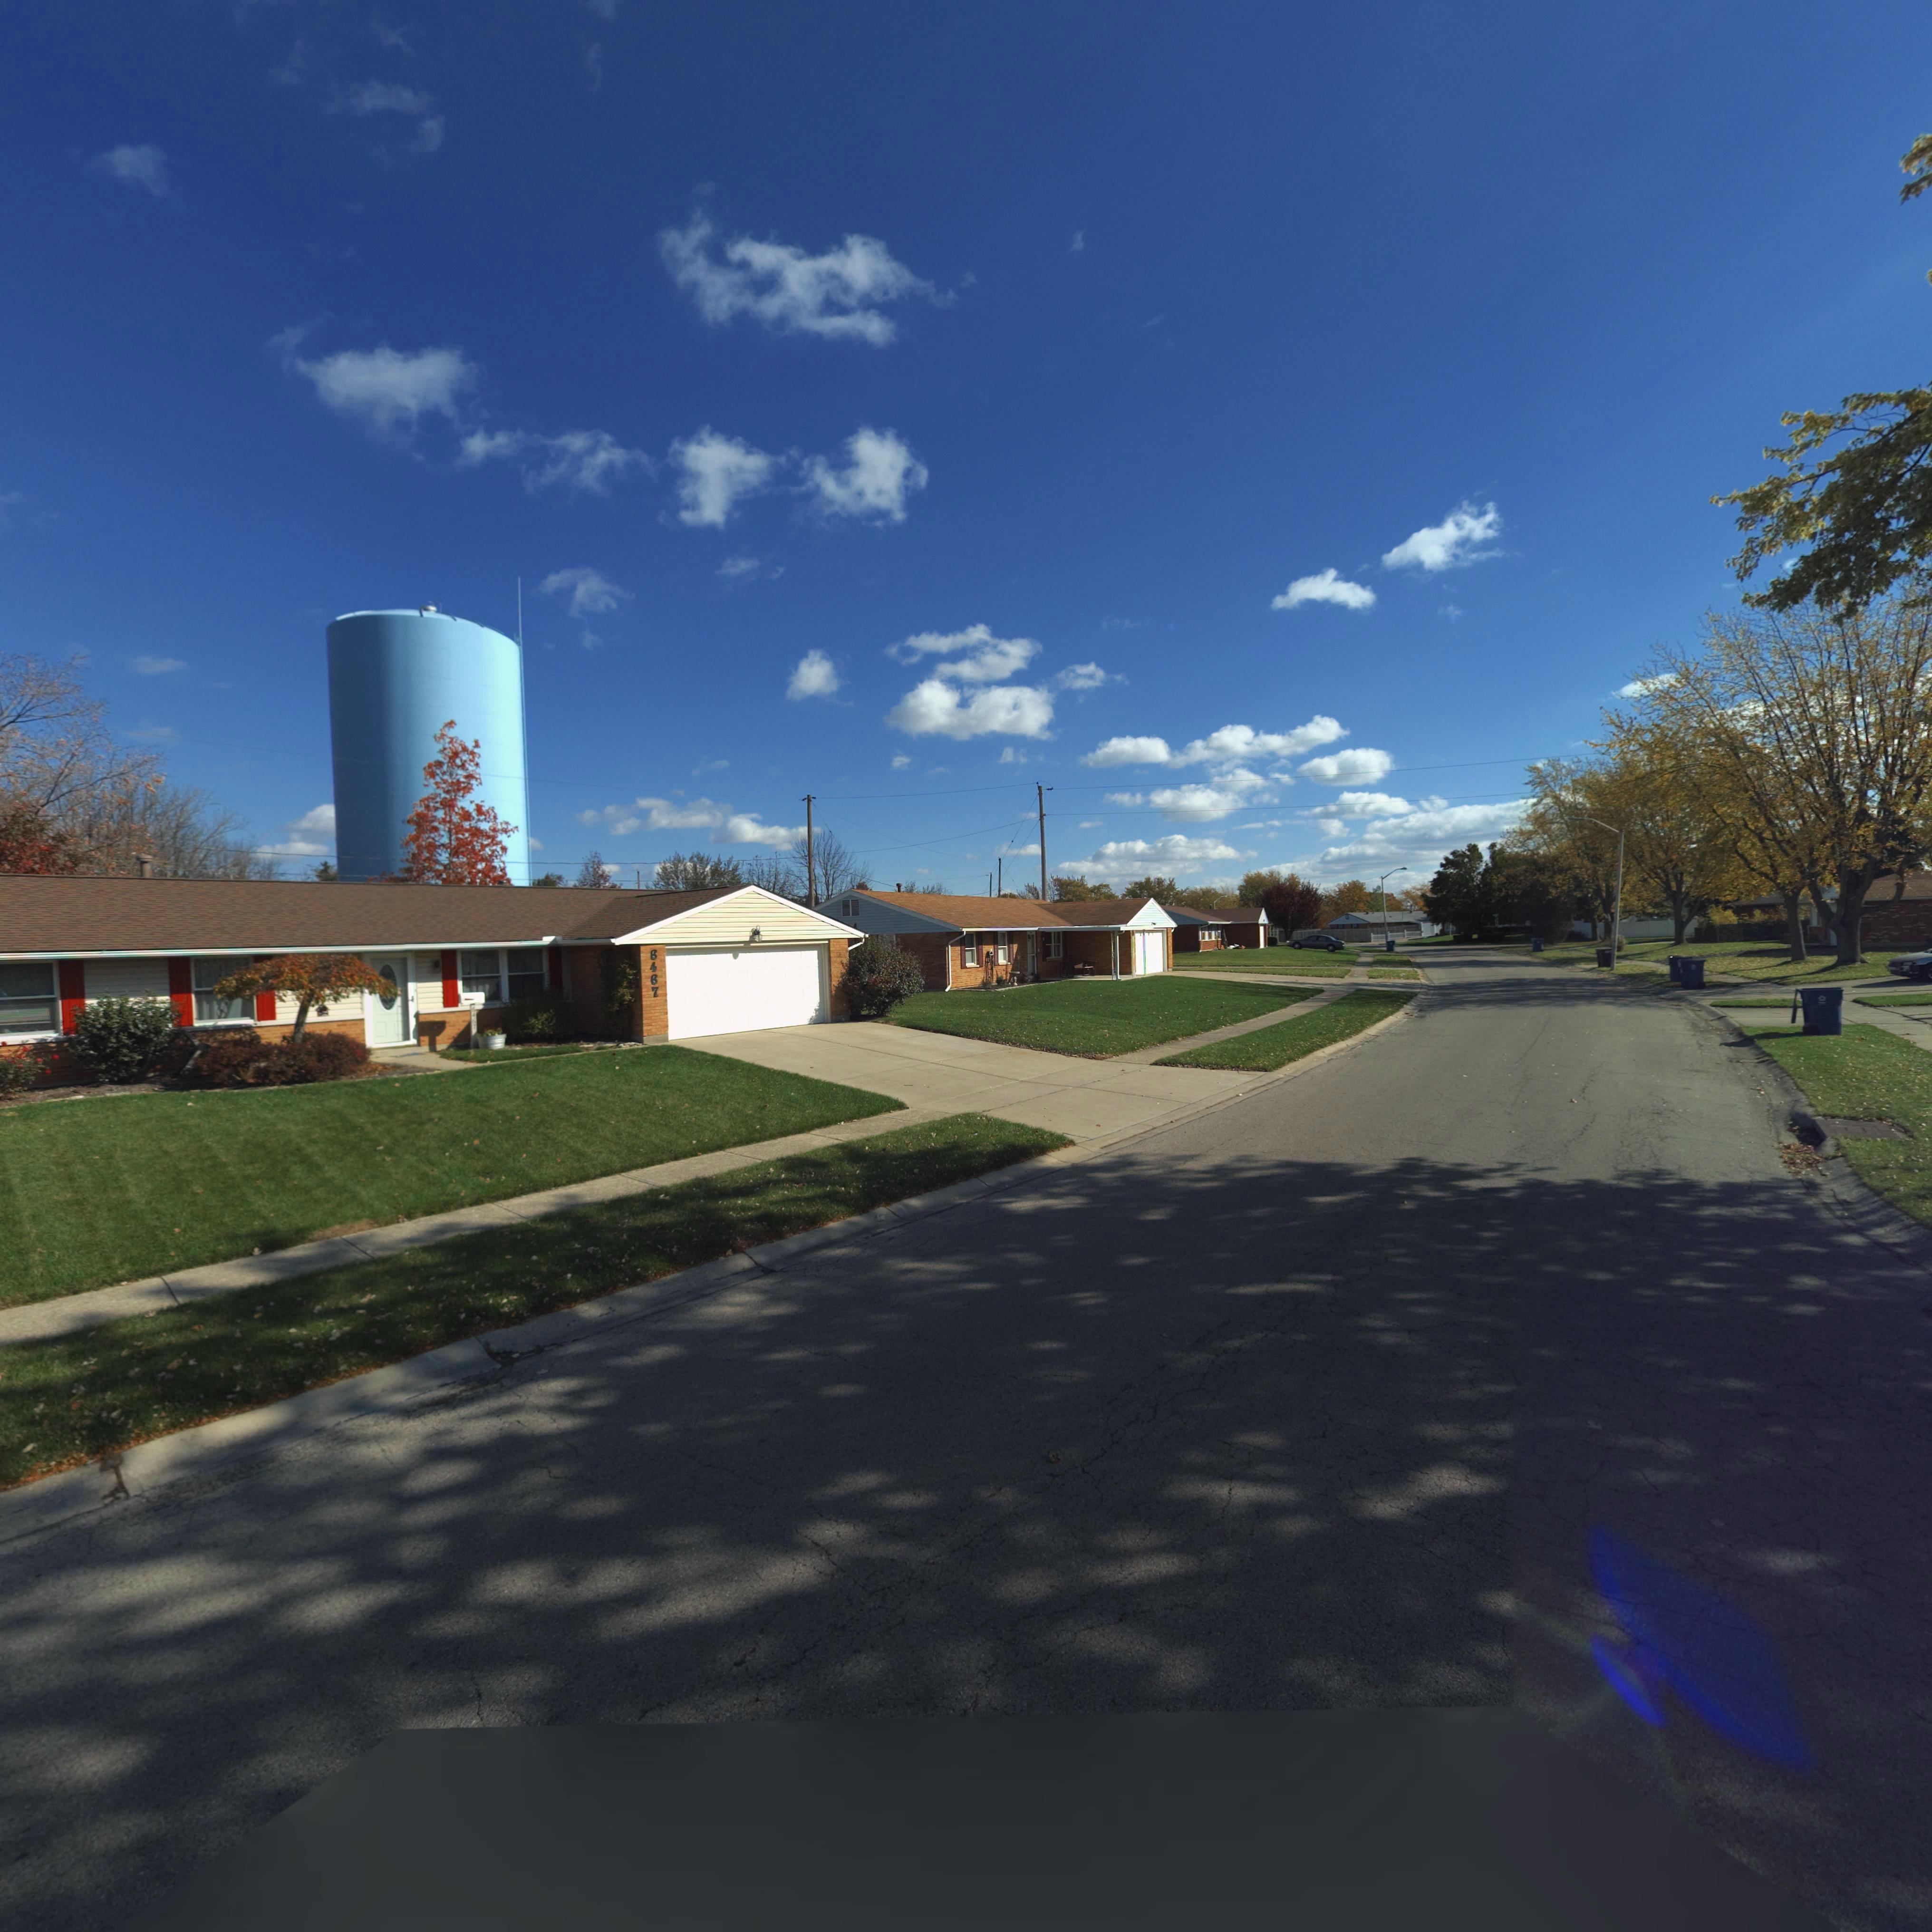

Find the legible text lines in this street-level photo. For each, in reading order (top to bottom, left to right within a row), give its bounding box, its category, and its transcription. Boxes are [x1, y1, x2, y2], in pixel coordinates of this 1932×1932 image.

[650, 949, 659, 998] StreetNumber: 6467